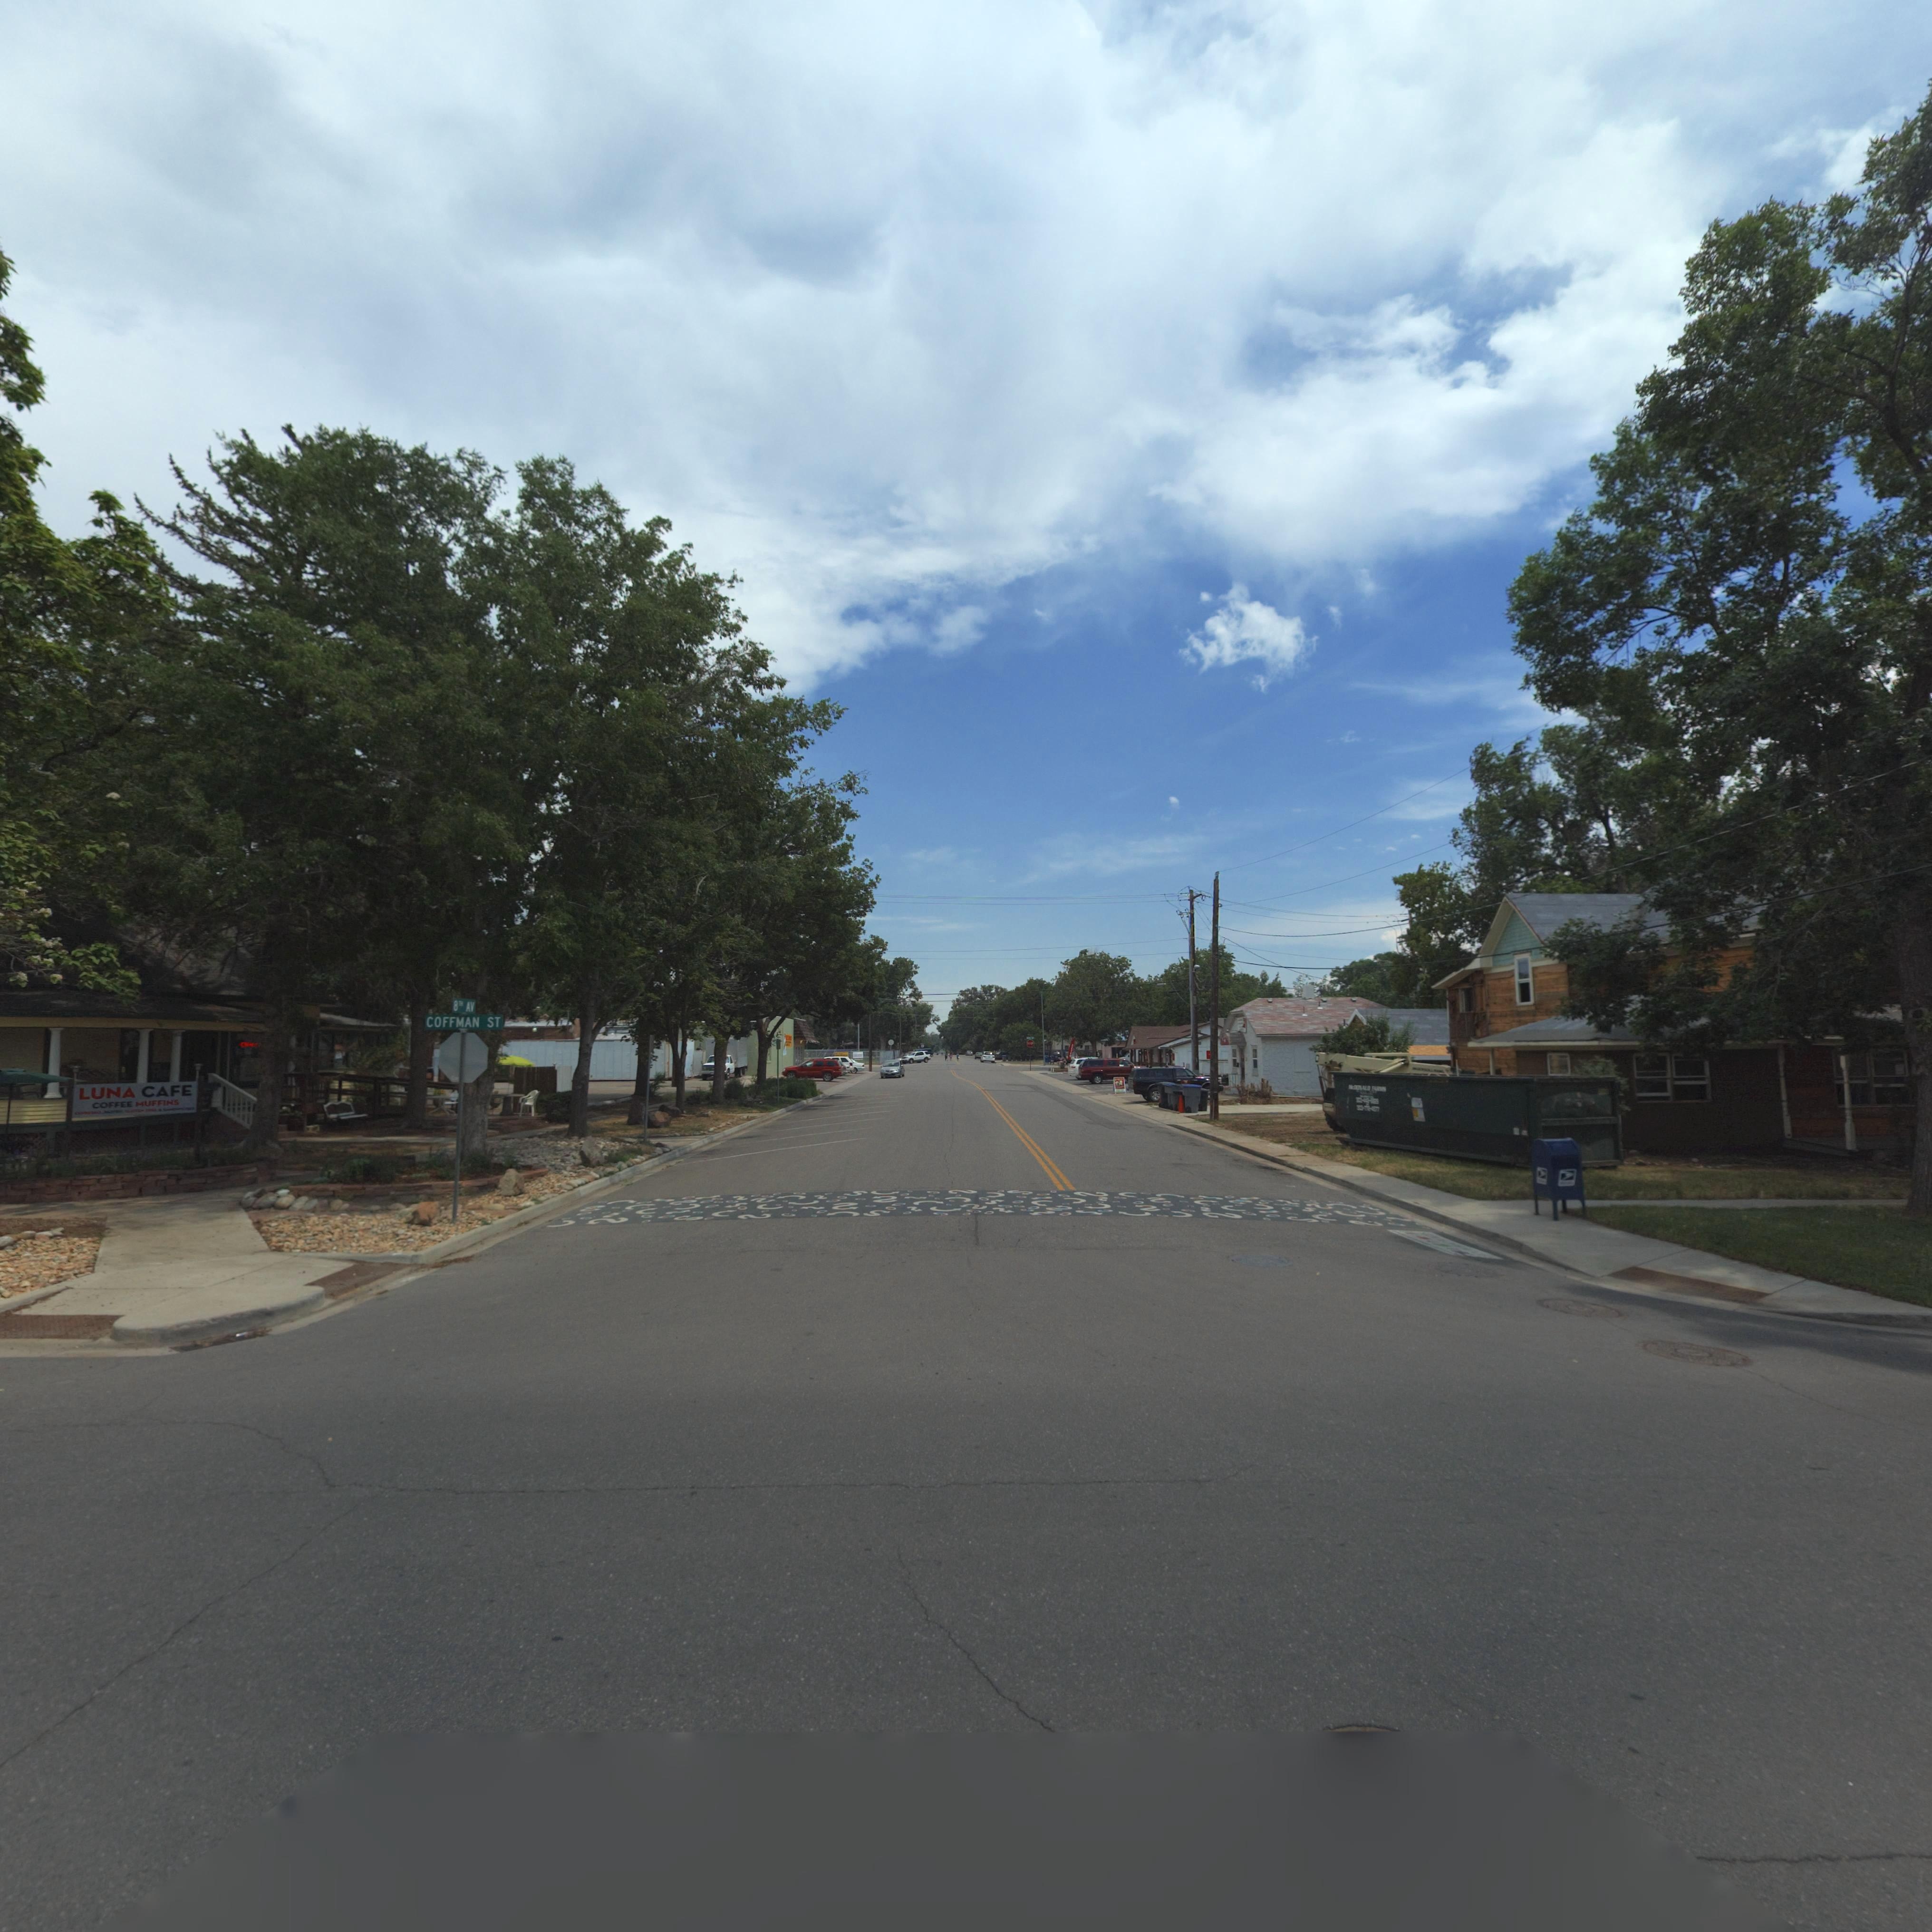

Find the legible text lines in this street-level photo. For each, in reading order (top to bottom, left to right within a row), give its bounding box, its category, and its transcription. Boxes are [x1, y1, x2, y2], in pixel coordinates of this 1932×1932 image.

[452, 999, 475, 1012] StreetName: 8TH AV
[425, 1016, 502, 1028] StreetName: COFFMAN ST
[78, 1084, 193, 1100] BusinessName: LUNA CAFE